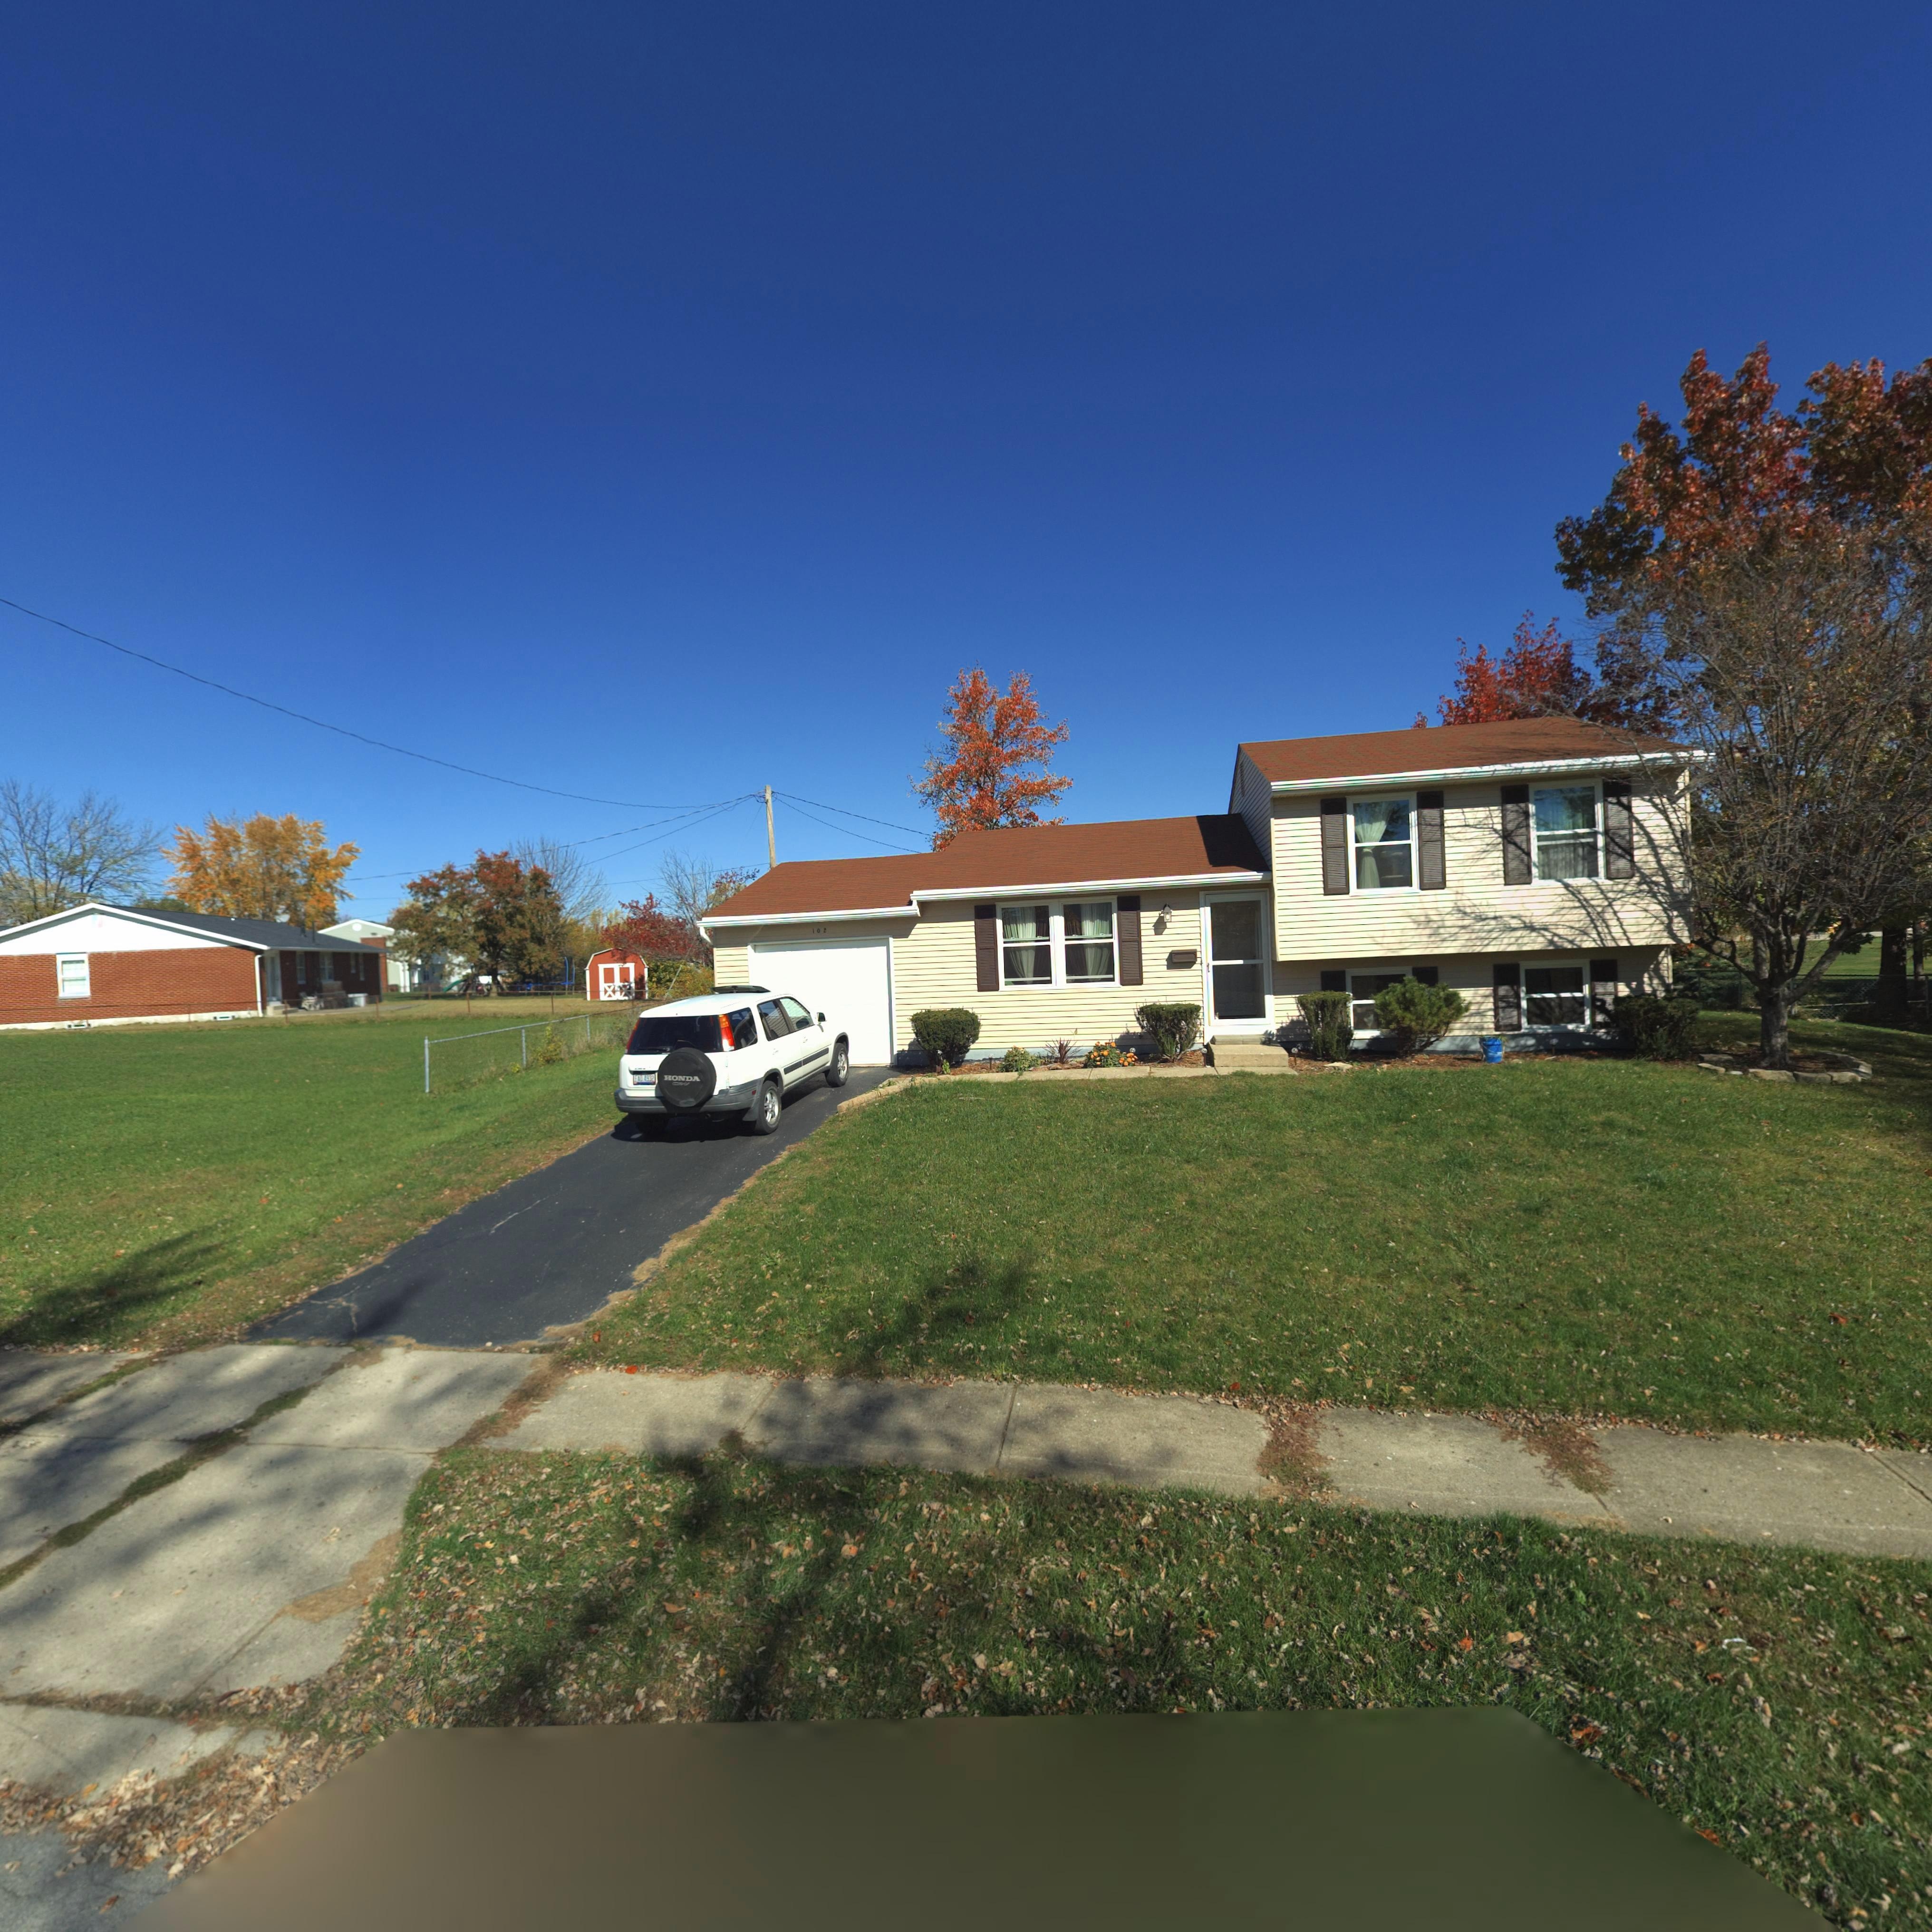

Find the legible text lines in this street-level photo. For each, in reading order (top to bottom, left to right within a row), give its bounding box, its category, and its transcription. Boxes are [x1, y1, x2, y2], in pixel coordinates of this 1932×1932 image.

[811, 926, 828, 935] StreetNumber: 102